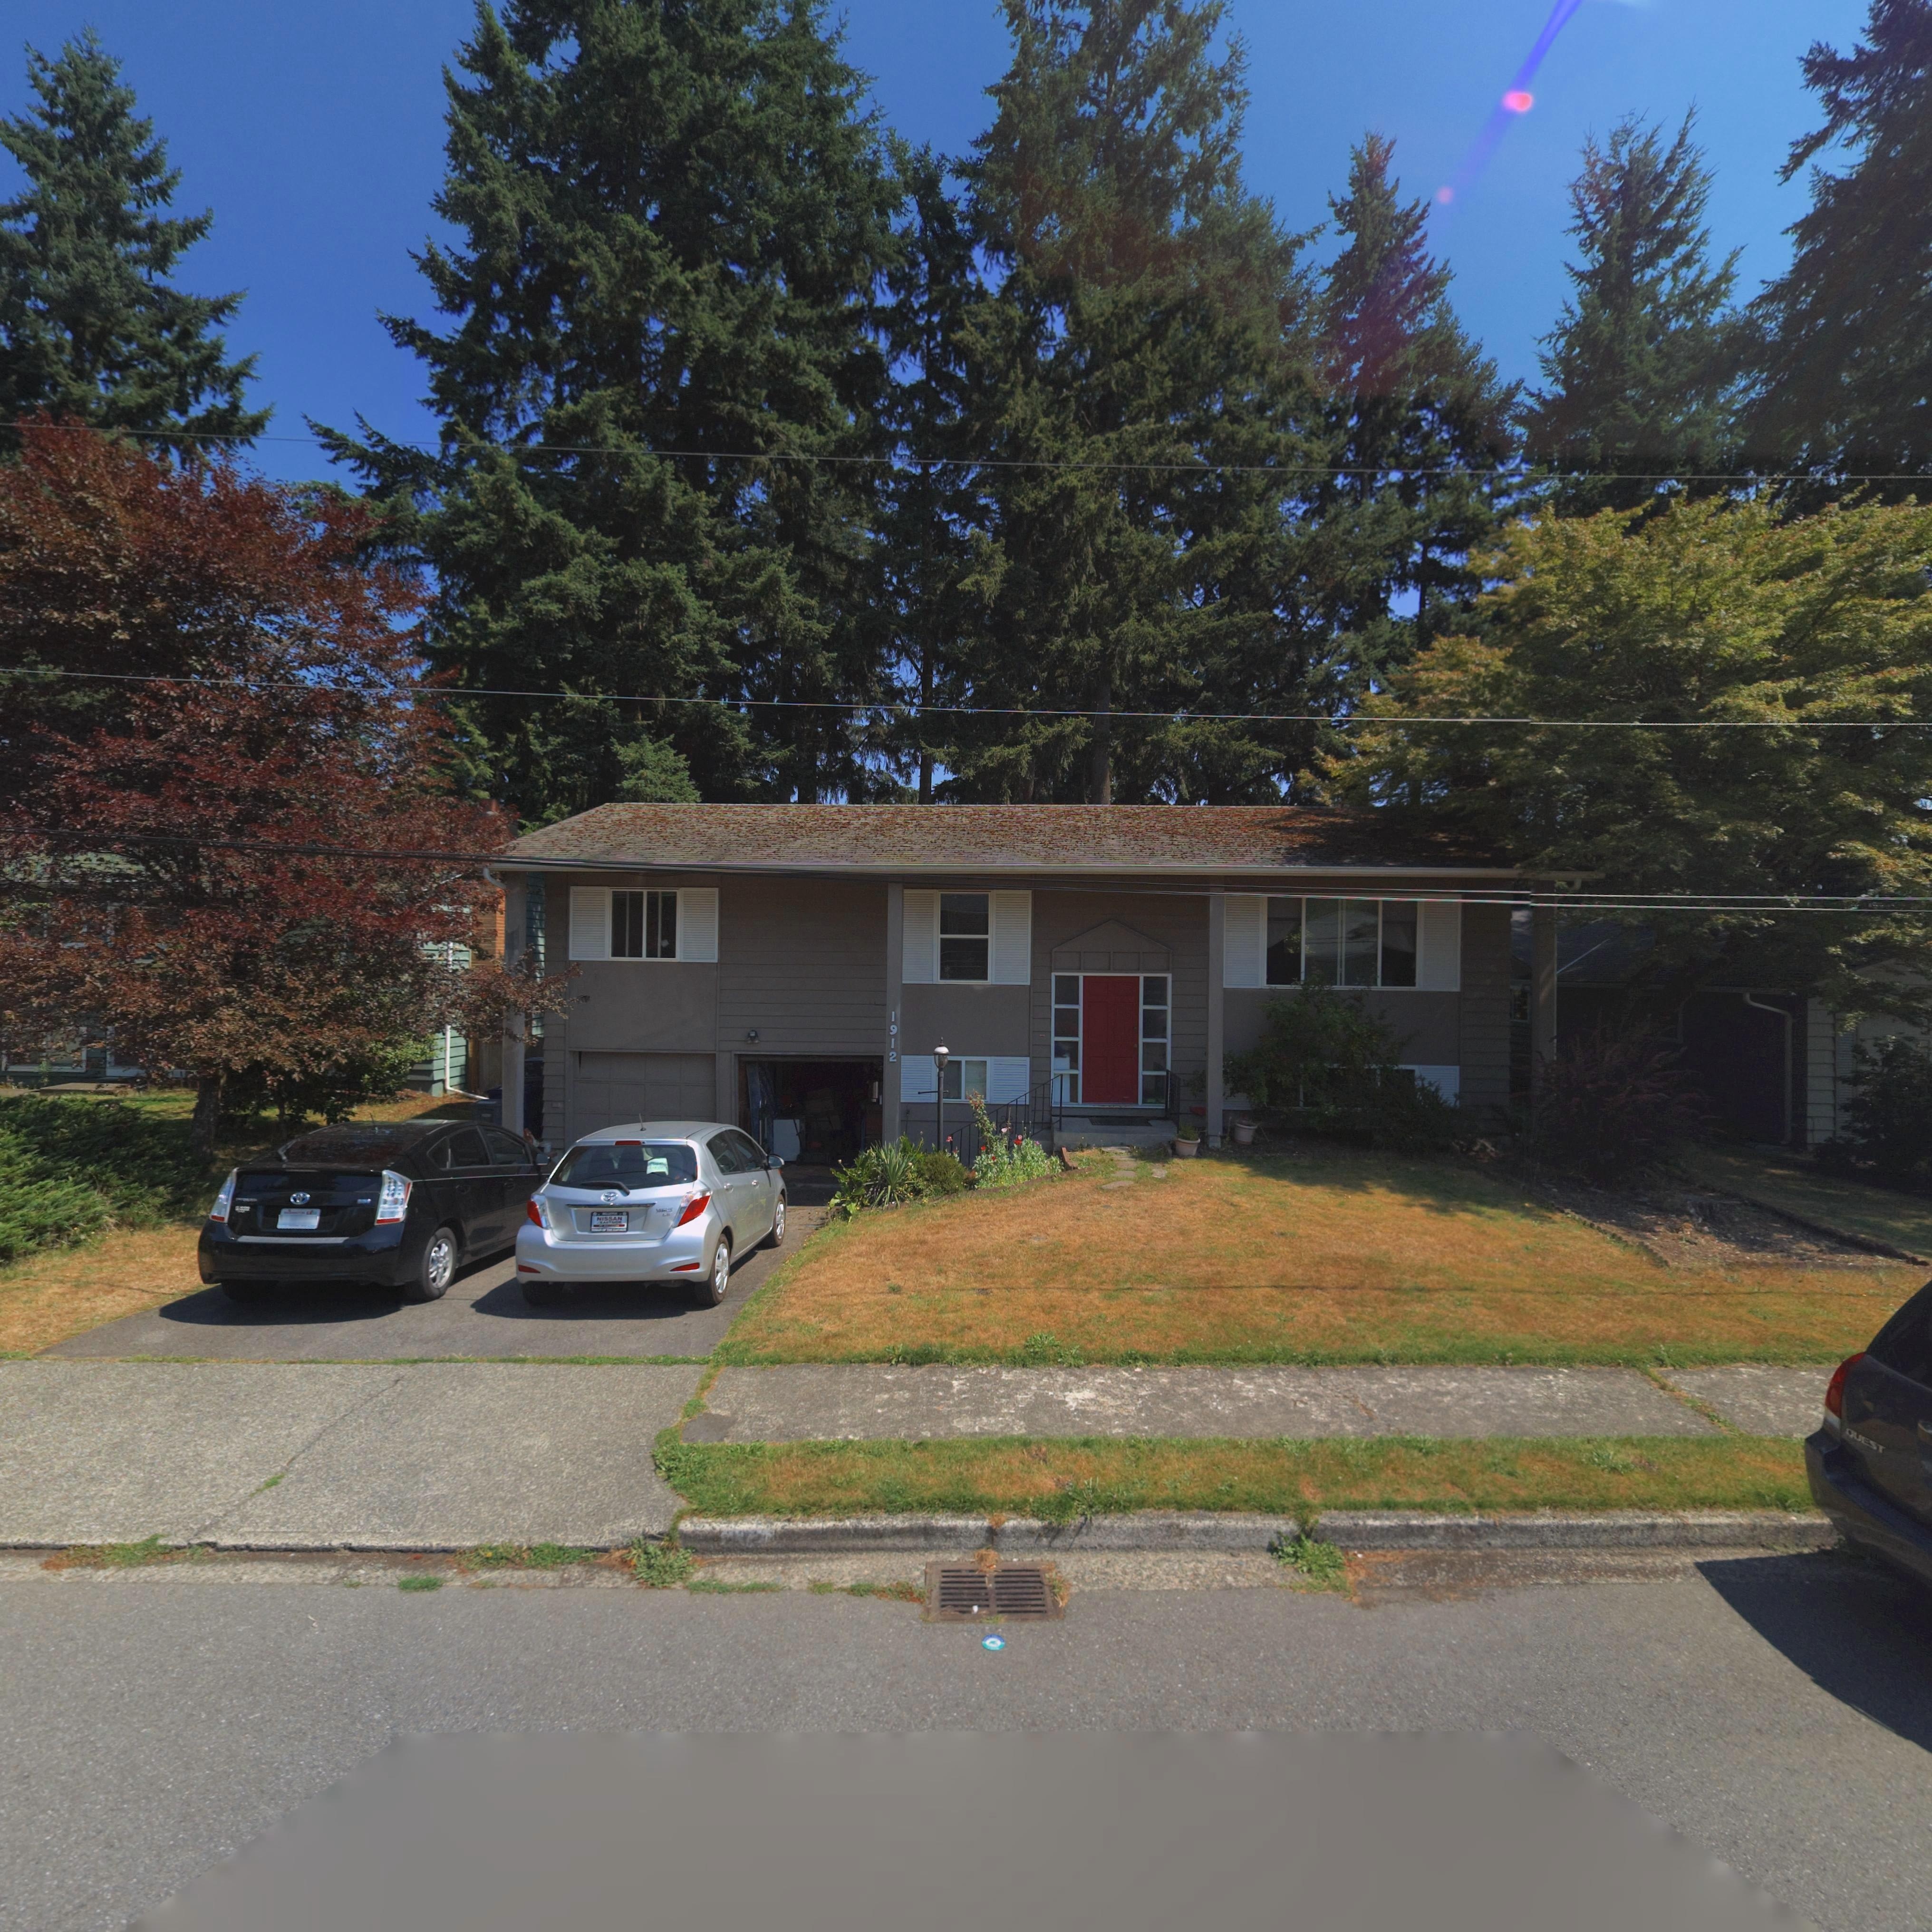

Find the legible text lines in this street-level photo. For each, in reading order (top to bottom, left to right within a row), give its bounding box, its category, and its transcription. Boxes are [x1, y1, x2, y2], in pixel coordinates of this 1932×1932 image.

[889, 1009, 897, 1062] StreetNumber: 1912